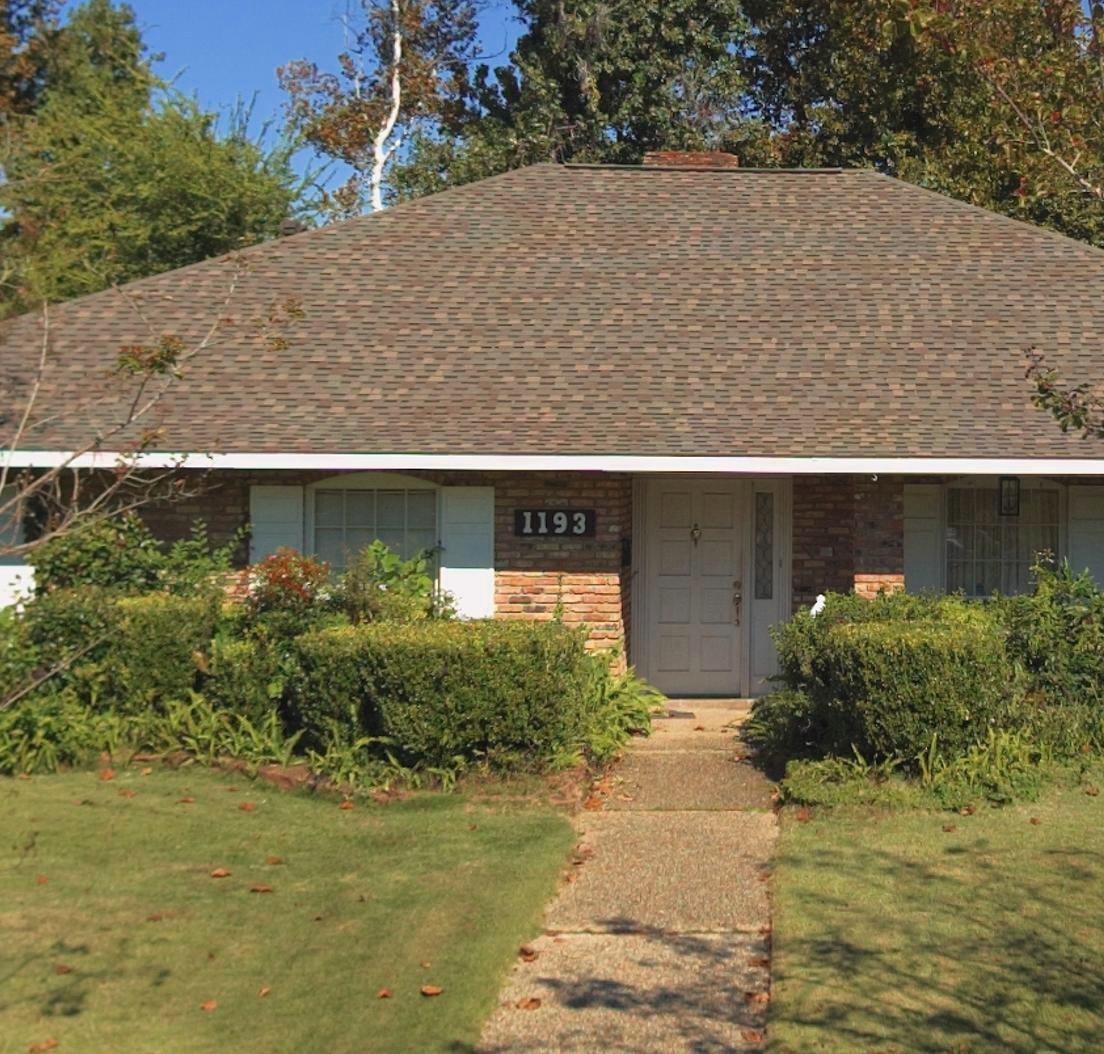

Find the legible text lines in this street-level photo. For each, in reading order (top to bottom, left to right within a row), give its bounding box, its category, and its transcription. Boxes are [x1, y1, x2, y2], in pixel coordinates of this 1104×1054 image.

[519, 510, 588, 536] StreetNumber: 1193